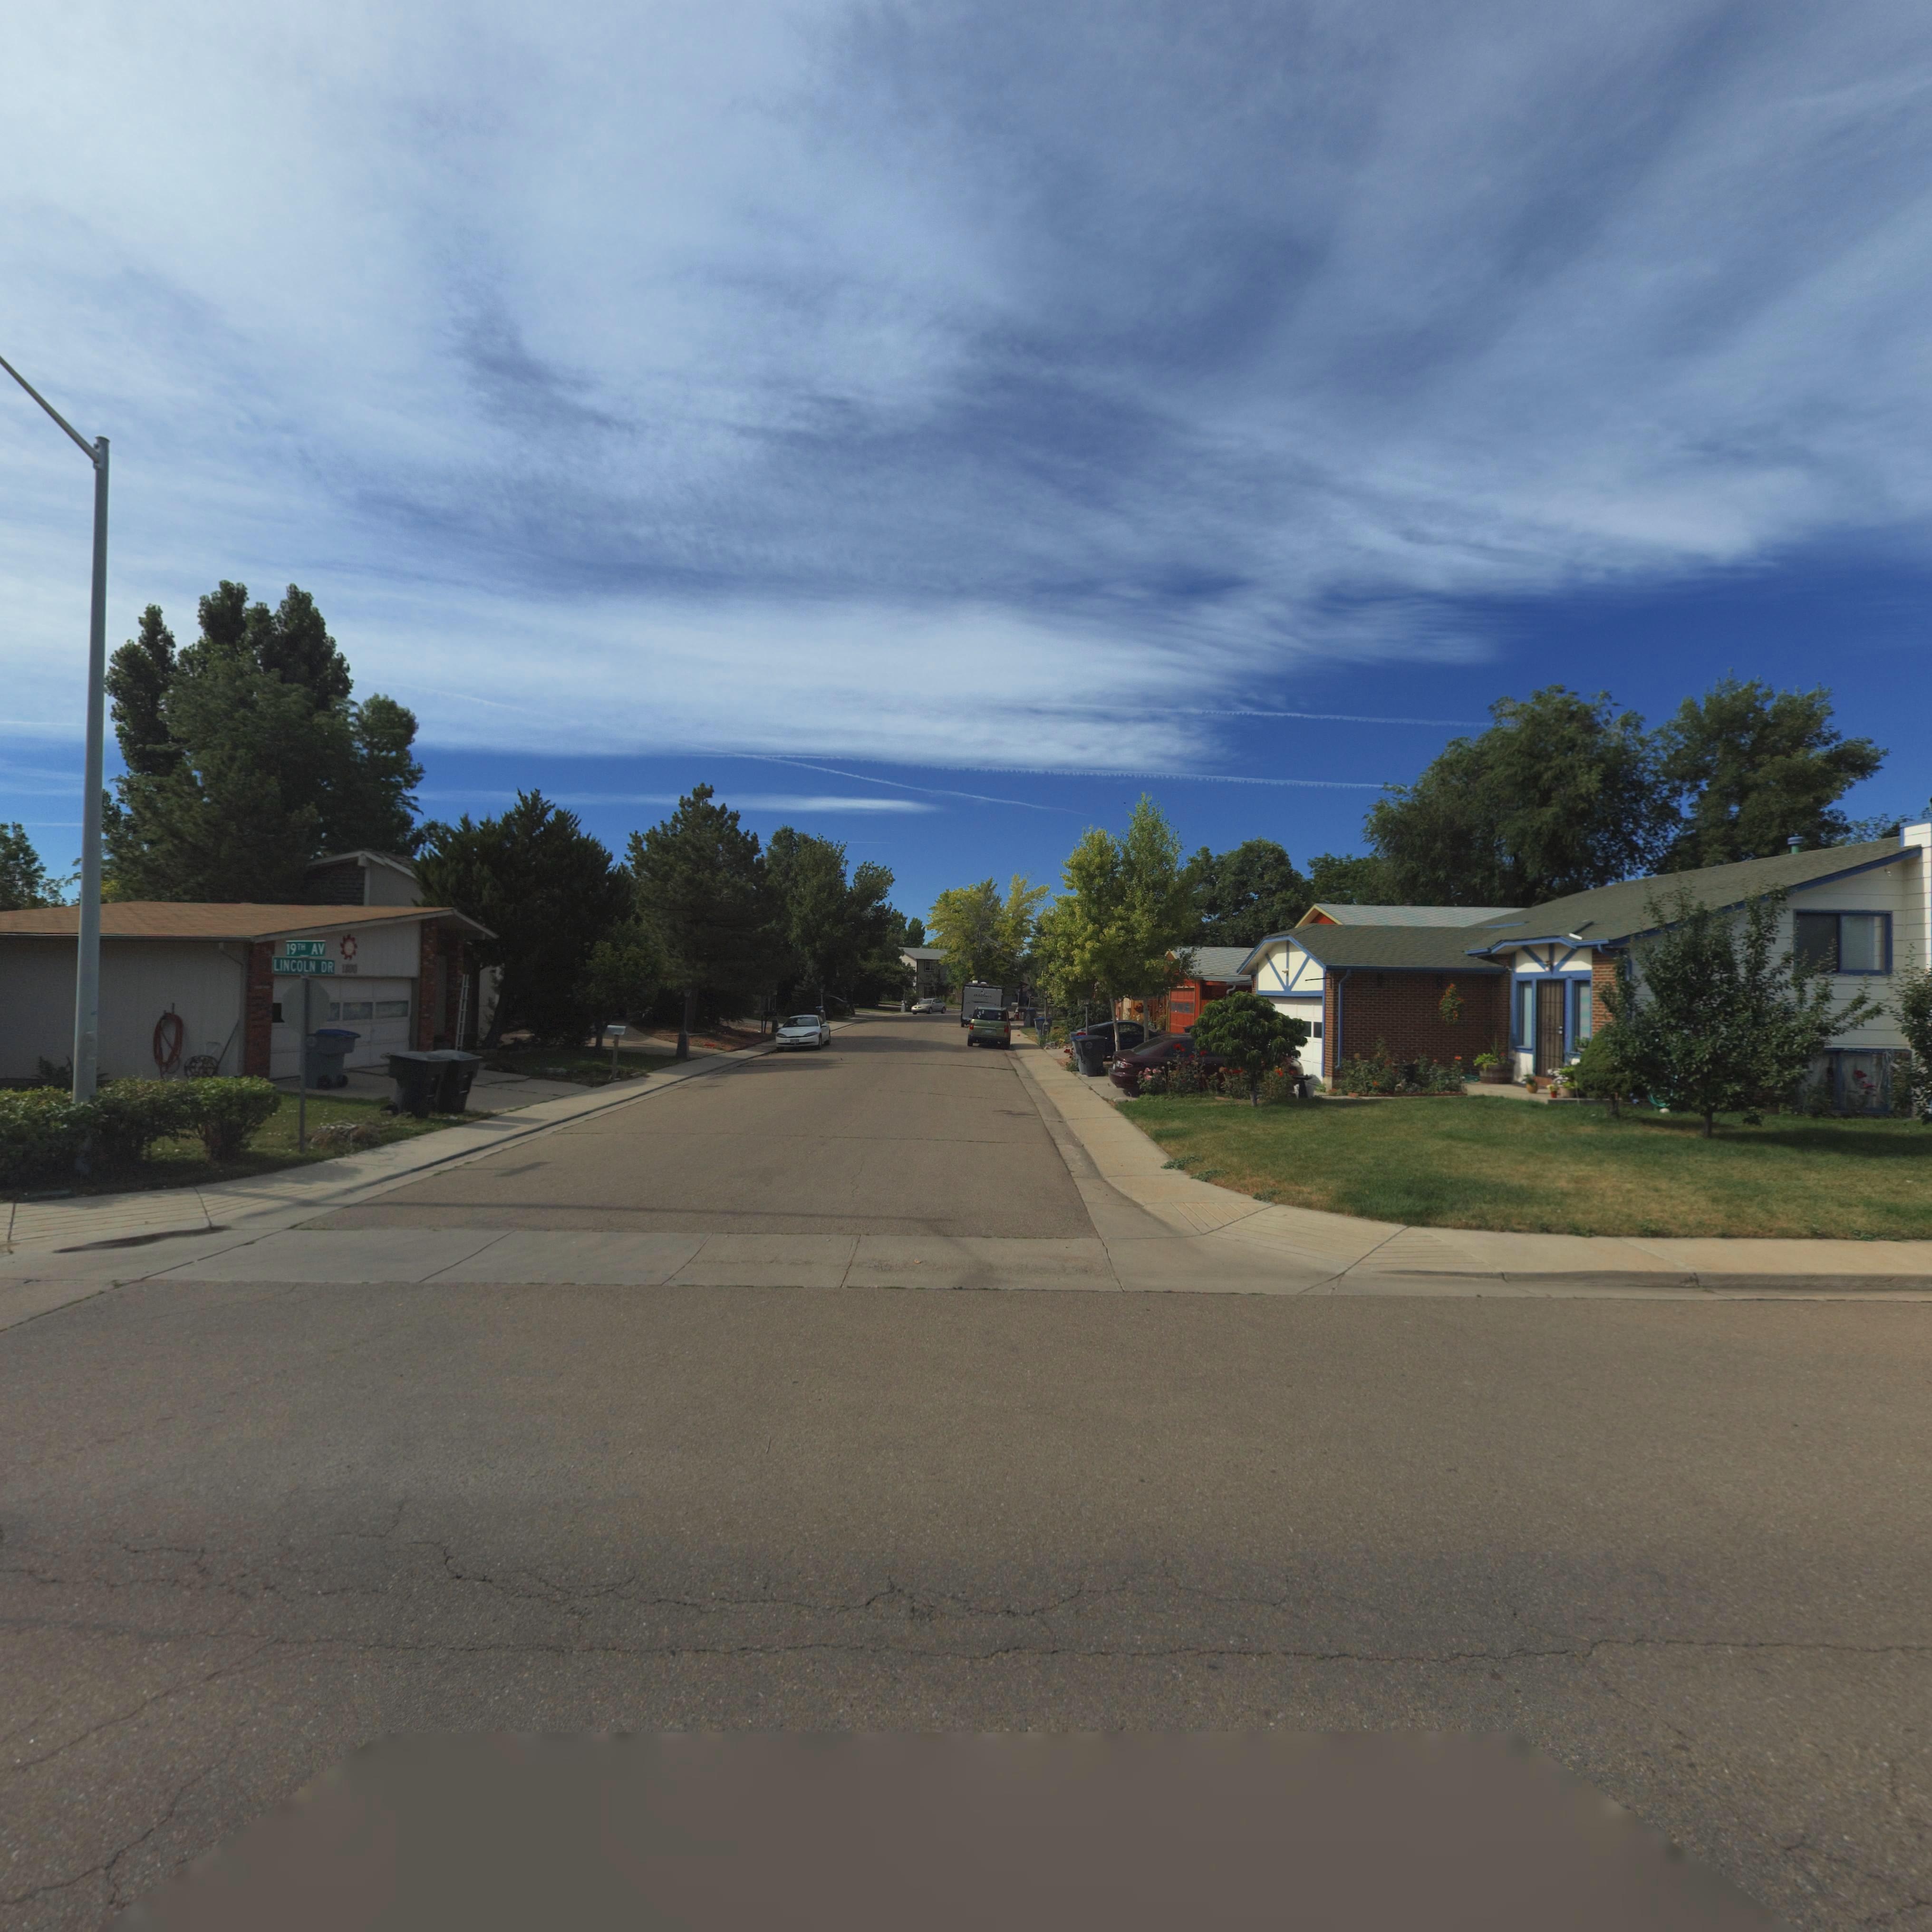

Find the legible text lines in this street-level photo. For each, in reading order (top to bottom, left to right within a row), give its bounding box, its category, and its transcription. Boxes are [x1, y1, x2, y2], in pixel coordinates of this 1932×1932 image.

[286, 942, 325, 956] StreetName: 19TH AV
[272, 958, 334, 973] StreetName: LINCOLN DR
[341, 964, 358, 974] StreetNumber: 1*00